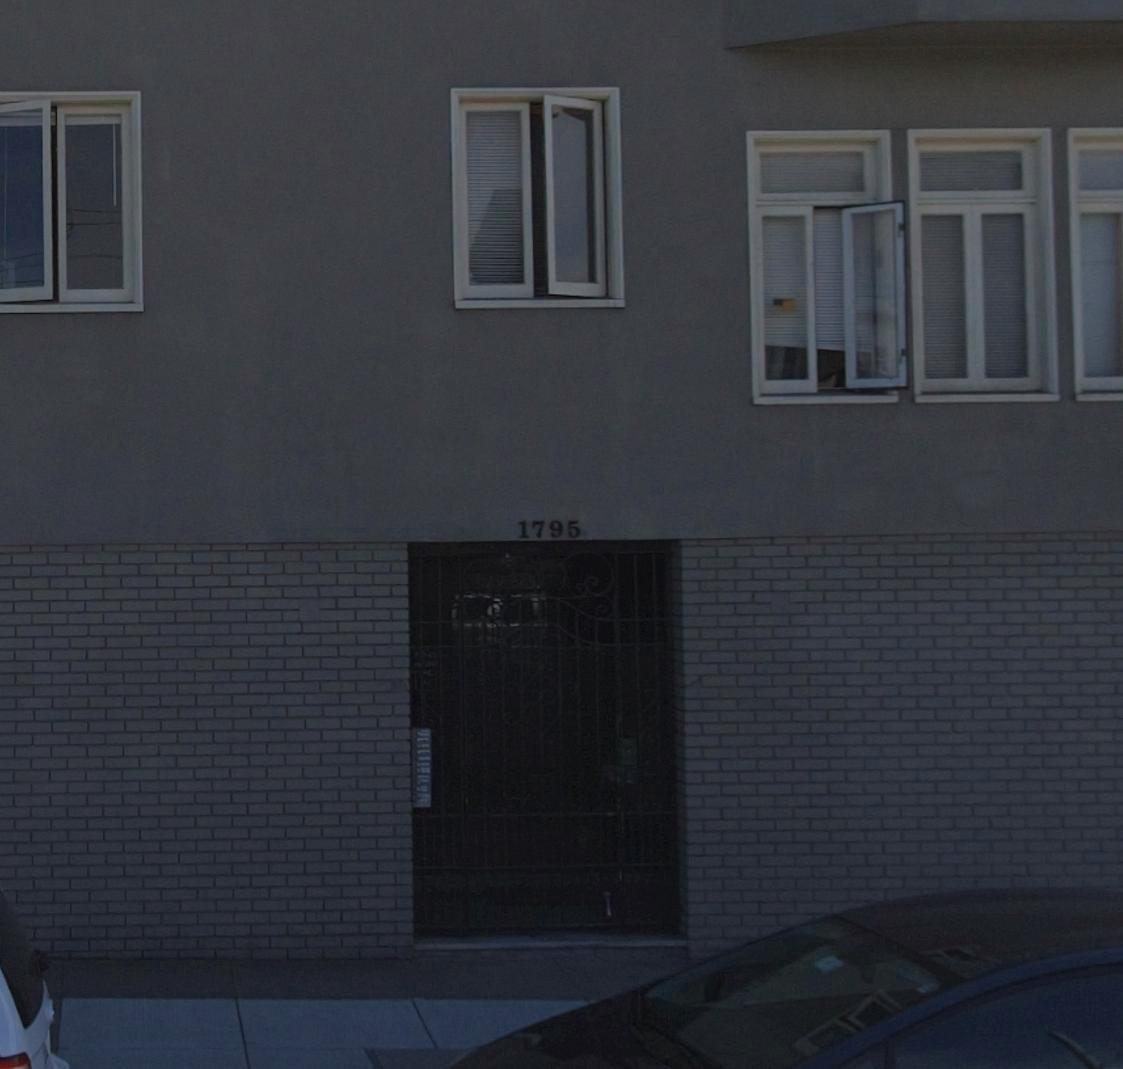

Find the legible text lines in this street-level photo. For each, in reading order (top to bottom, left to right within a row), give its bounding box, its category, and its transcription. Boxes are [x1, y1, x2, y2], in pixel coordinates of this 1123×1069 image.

[517, 517, 581, 540] StreetNumber: 1795